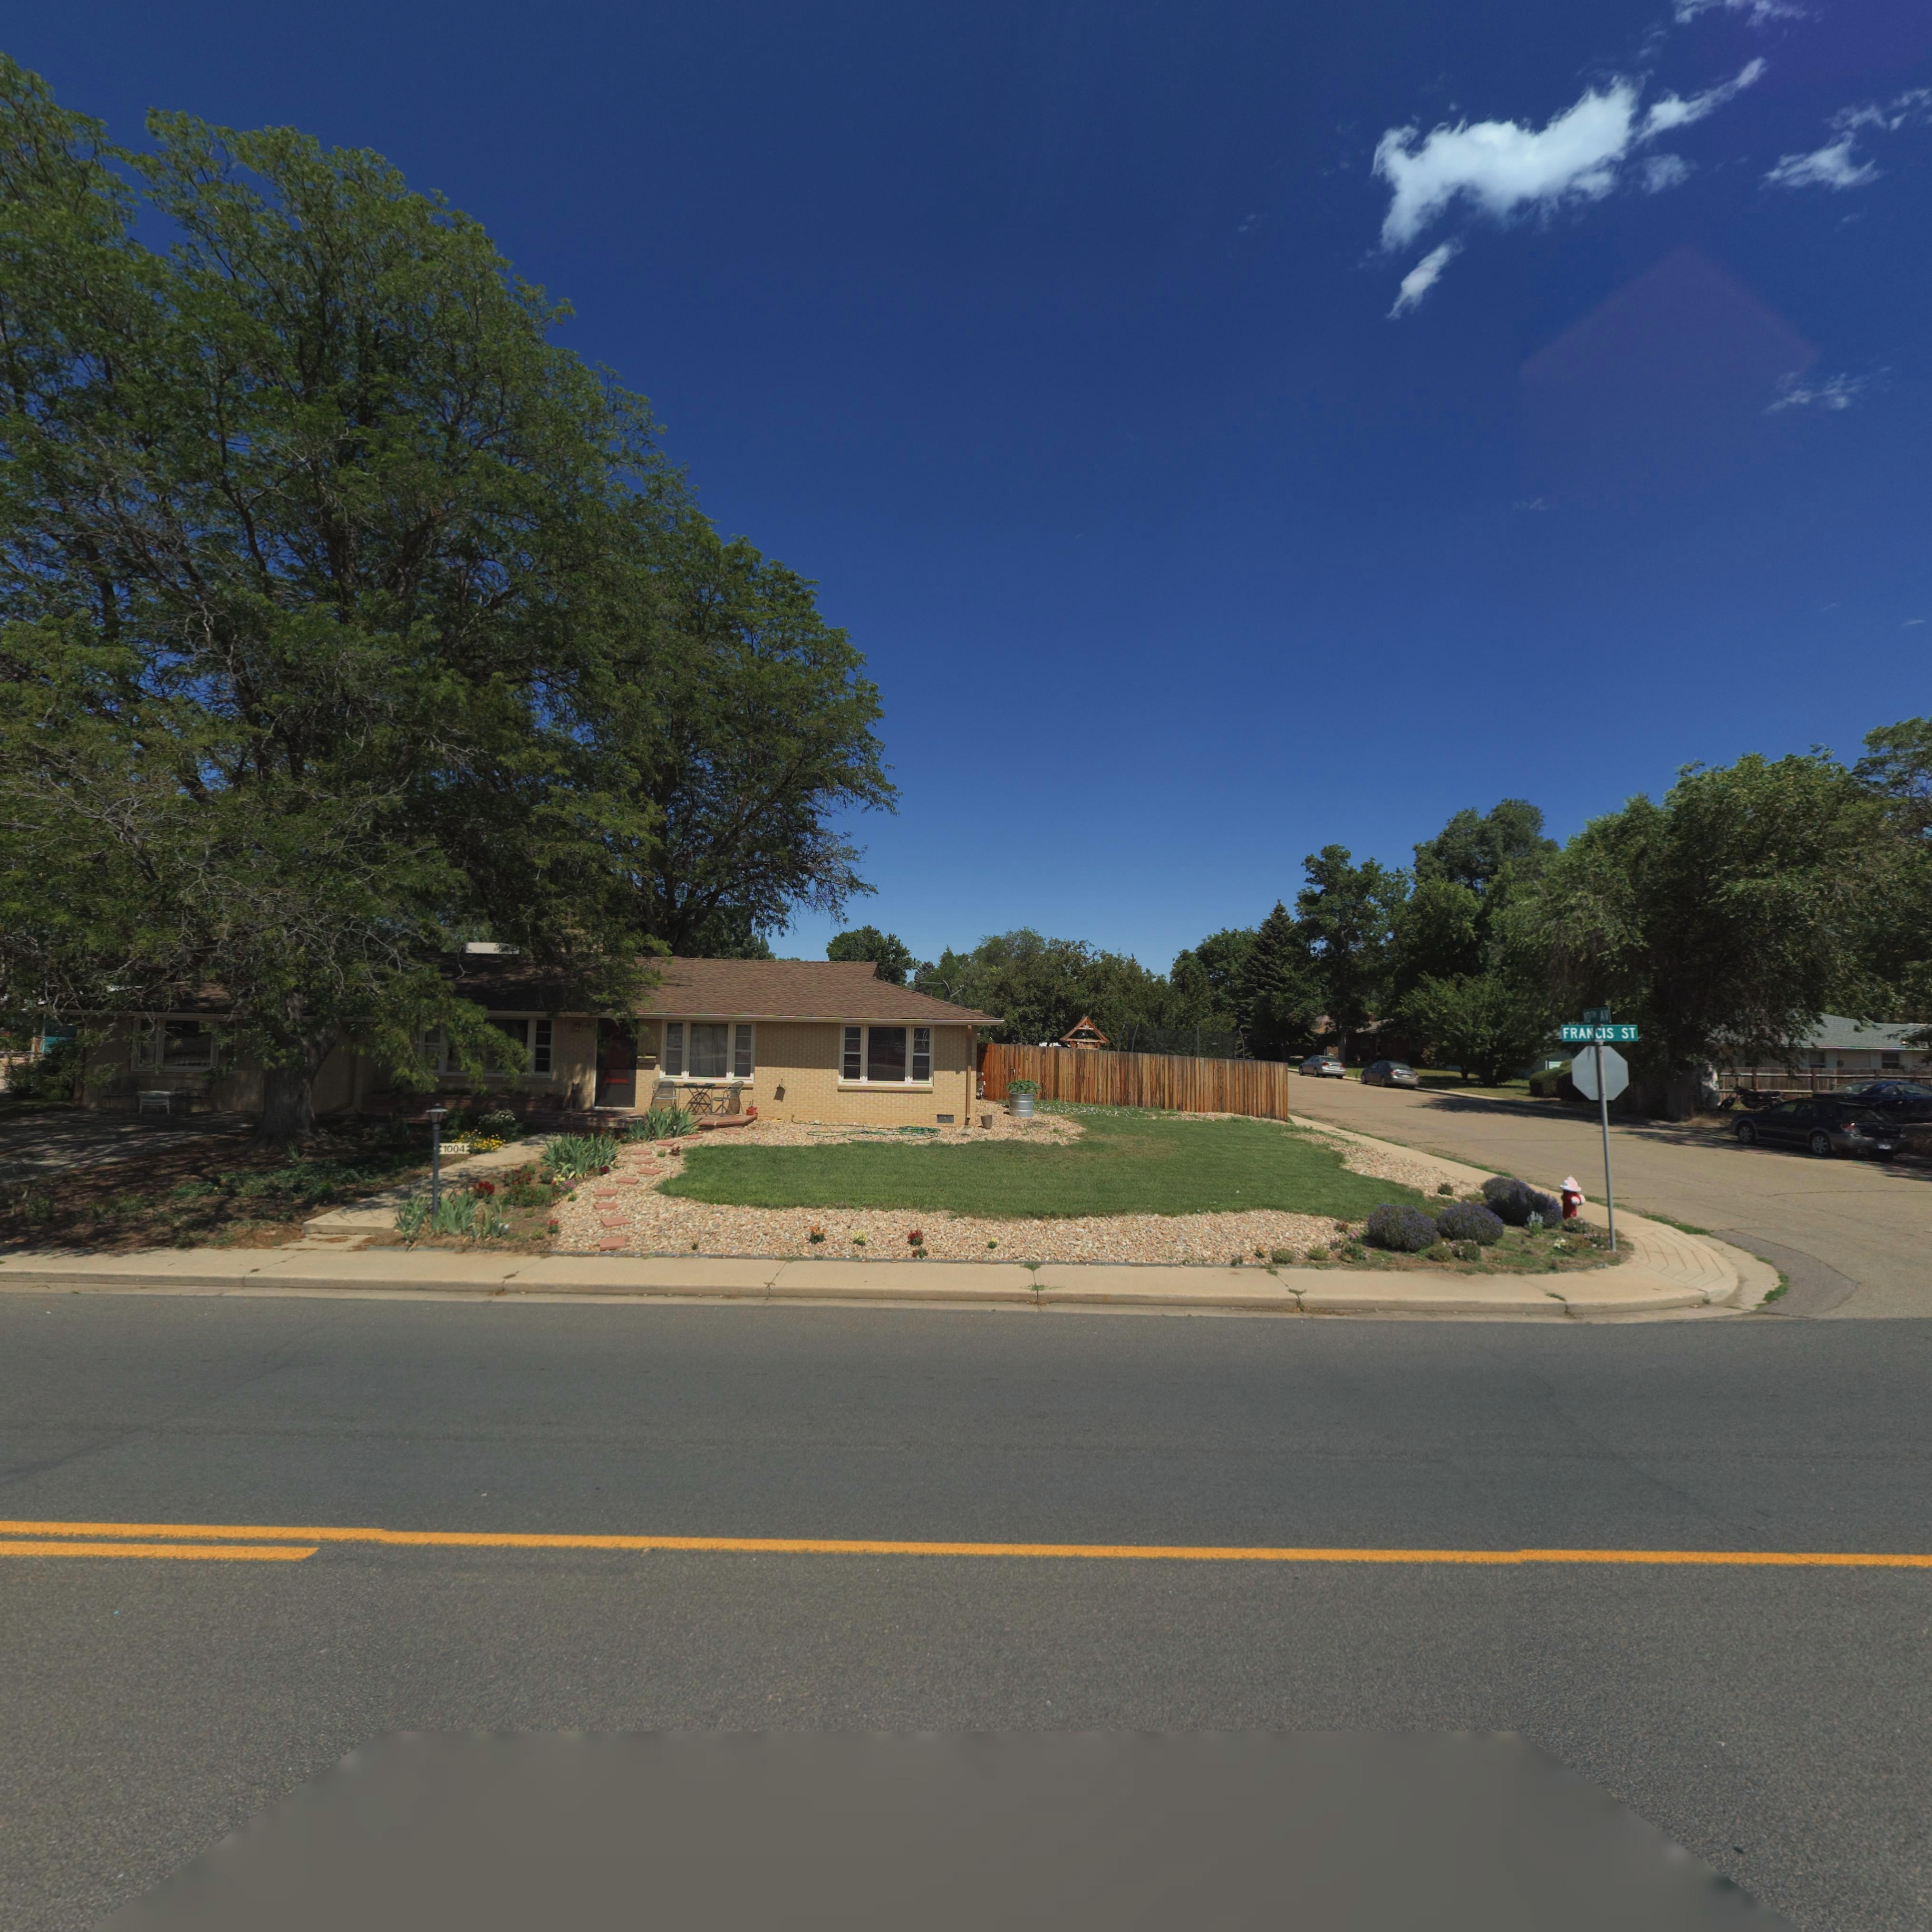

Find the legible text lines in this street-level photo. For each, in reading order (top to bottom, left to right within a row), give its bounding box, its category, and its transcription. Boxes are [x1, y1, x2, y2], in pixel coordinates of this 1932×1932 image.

[1582, 1009, 1609, 1024] StreetName: 10TH AV
[1562, 1026, 1635, 1039] StreetName: FRANCIS ST
[443, 1144, 464, 1153] StreetNumber: 1004